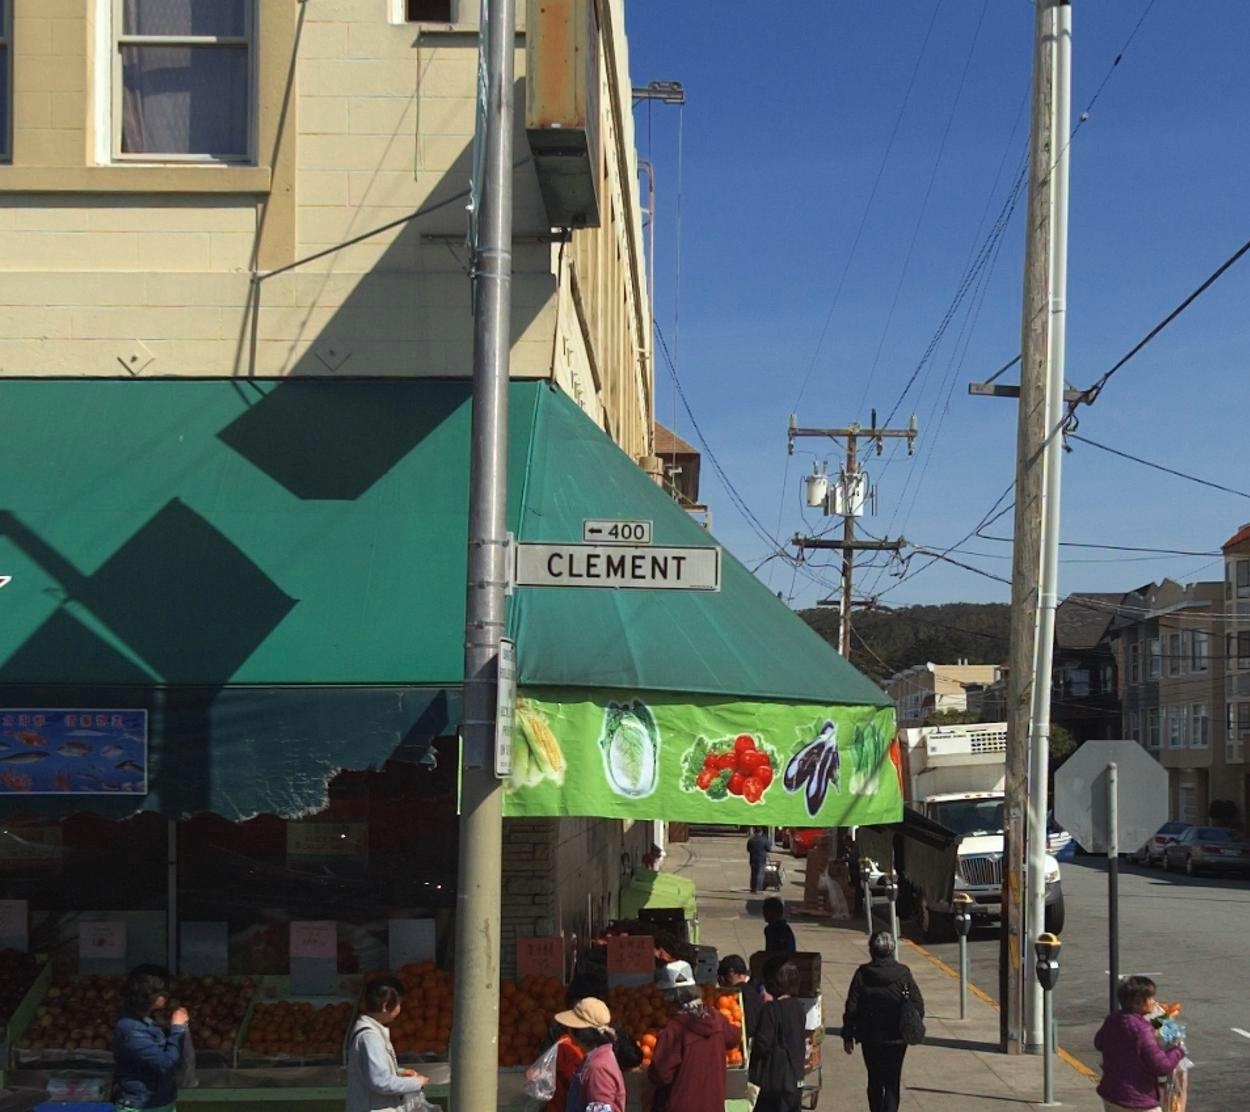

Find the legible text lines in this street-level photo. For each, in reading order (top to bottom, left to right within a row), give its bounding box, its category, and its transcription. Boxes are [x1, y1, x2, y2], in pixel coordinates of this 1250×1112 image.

[584, 521, 649, 542] StreetNumberRange: <-400
[545, 549, 688, 583] StreetName: CLEMENT